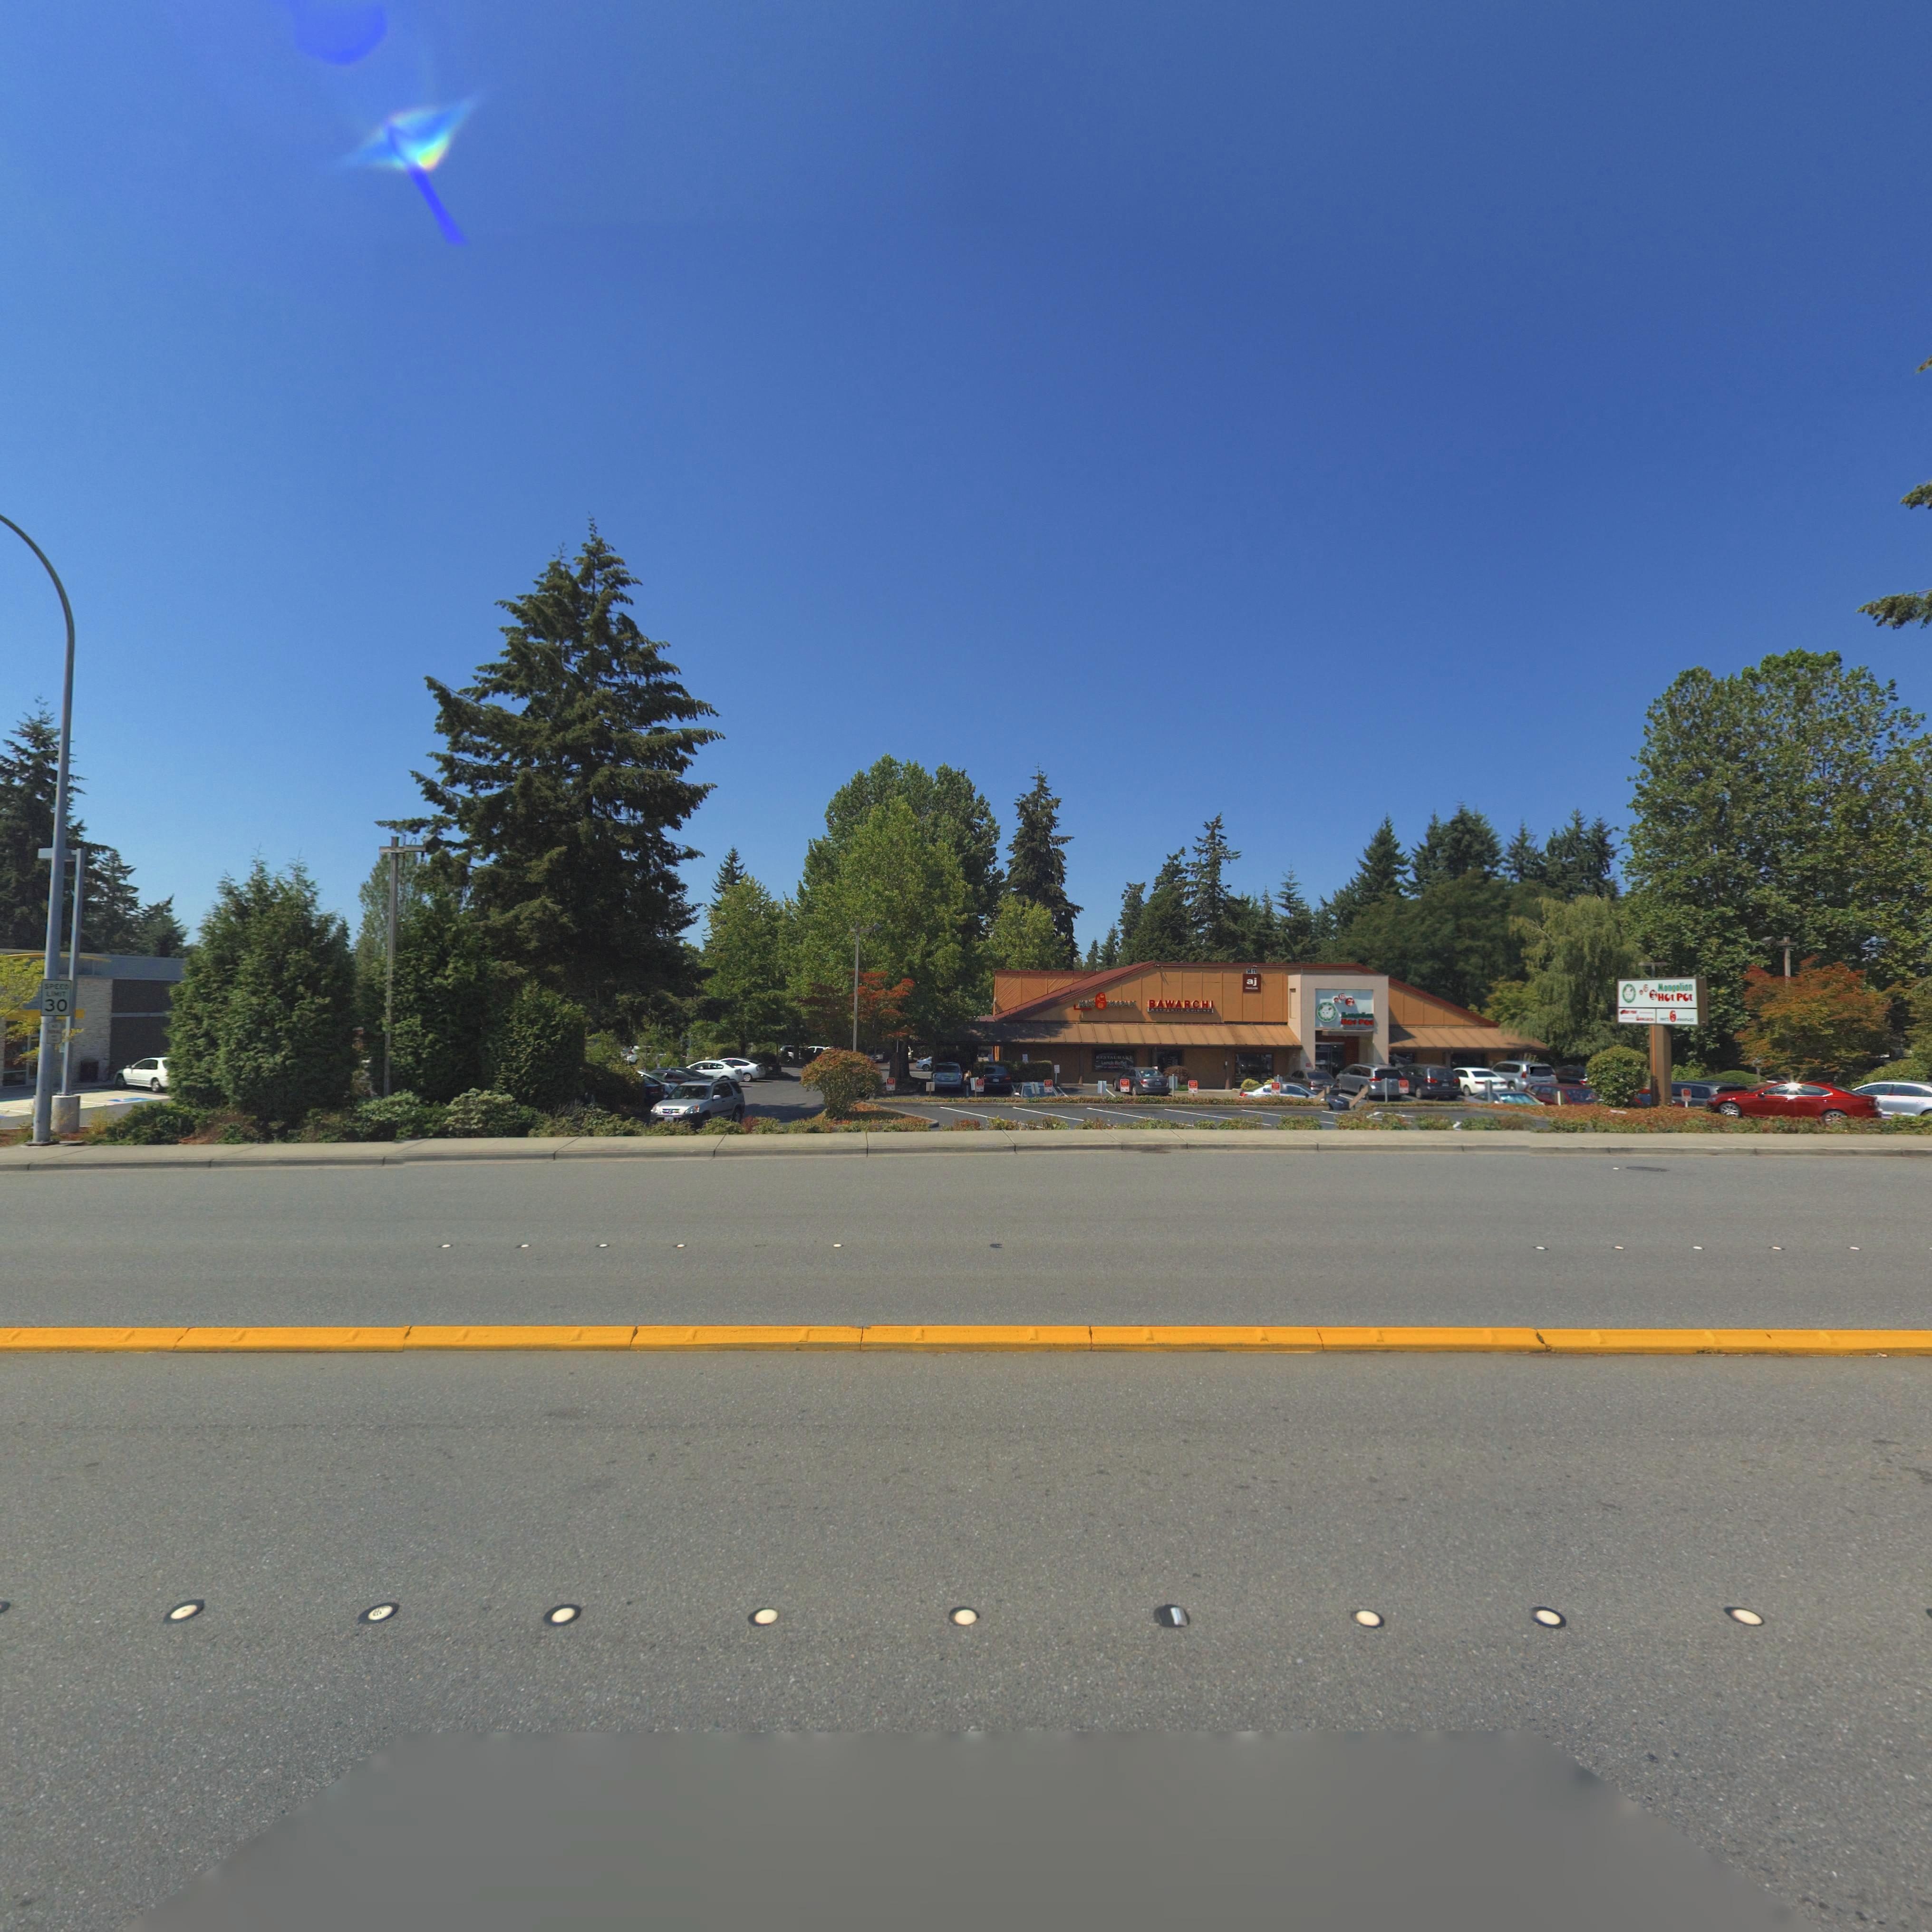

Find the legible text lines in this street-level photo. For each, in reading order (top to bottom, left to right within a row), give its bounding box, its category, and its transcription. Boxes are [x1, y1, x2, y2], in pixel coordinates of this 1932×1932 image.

[1246, 977, 1256, 986] BusinessName: aj
[1658, 982, 1694, 992] BusinessName: Mongolian
[1657, 993, 1693, 1003] BusinessName: HOT POT
[1148, 999, 1214, 1007] BusinessName: BAWARCHI
[1340, 1018, 1374, 1025] BusinessName: HOT POT